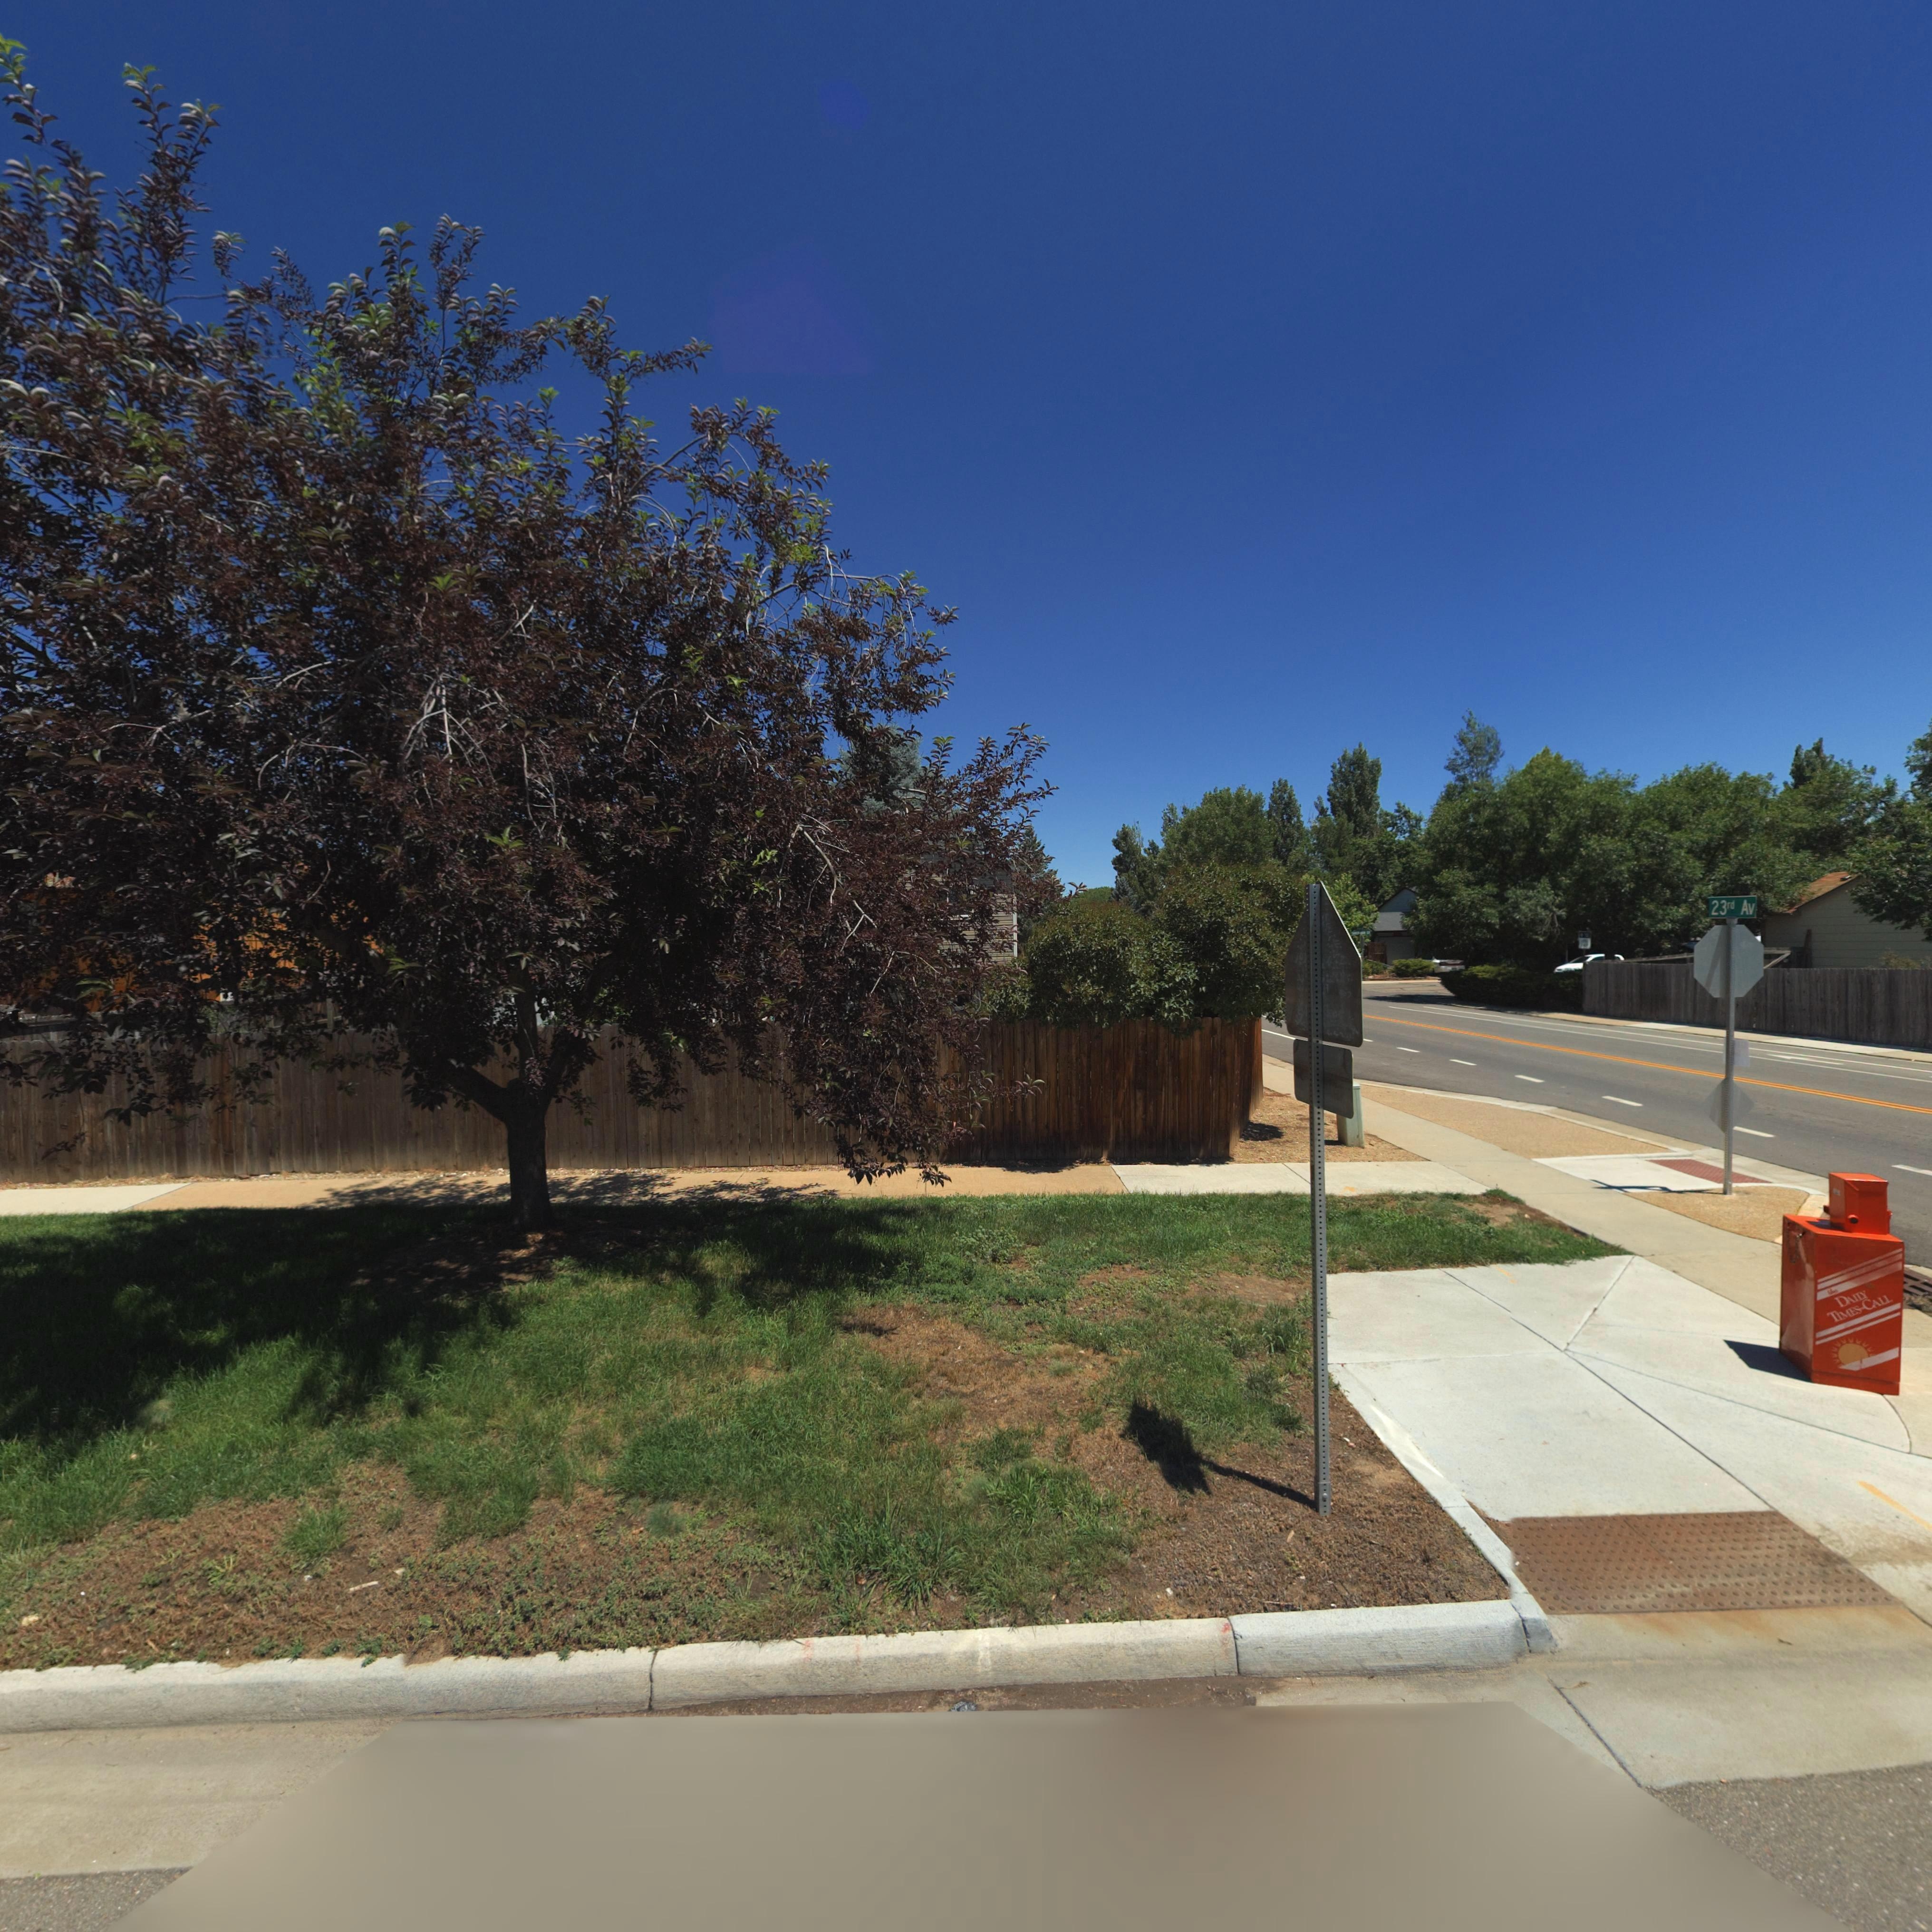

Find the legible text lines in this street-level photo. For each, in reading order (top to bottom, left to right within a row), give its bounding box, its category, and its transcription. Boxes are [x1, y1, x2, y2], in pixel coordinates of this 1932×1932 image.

[1711, 899, 1755, 915] StreetName: 23rd Av